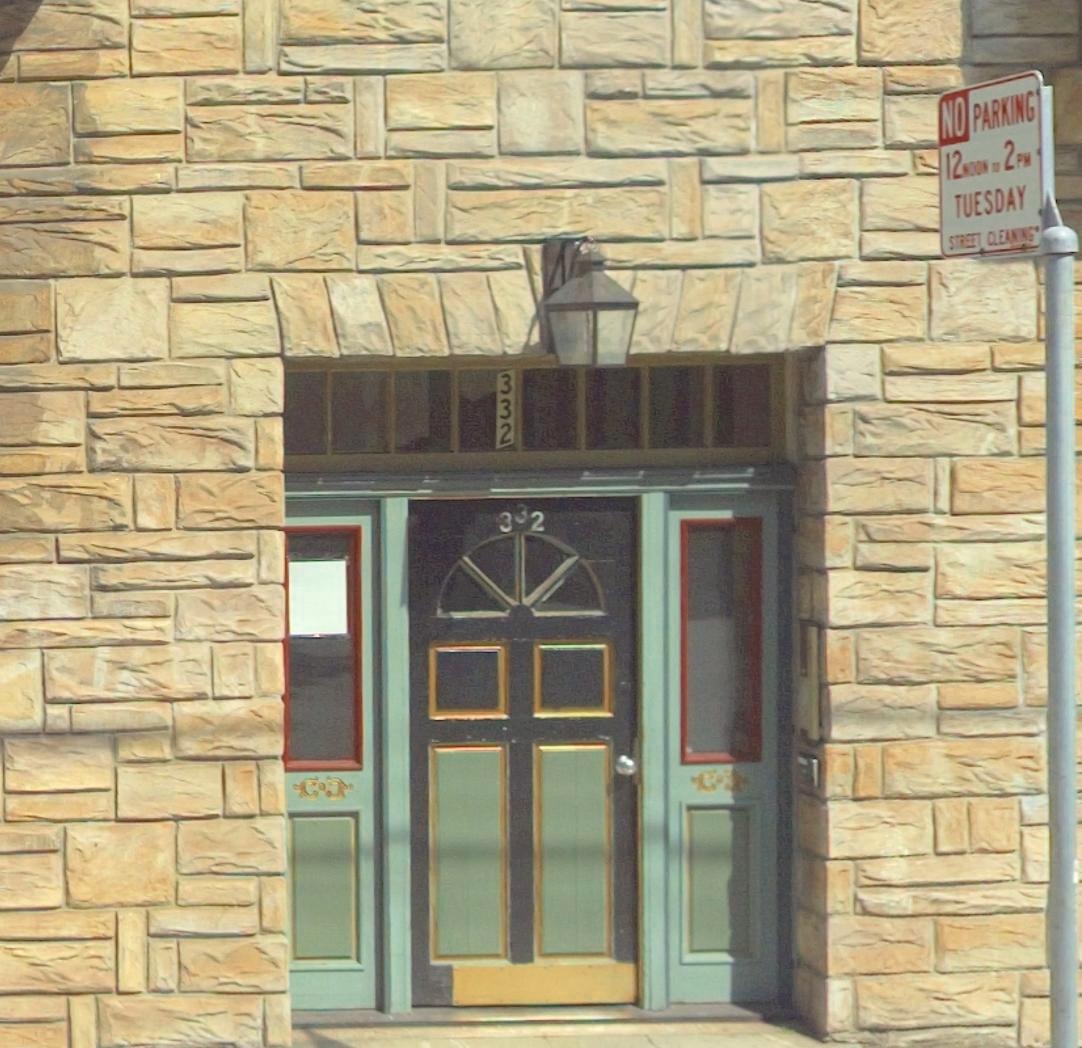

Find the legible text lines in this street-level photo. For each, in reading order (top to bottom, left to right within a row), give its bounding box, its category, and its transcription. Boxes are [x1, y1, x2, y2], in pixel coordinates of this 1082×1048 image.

[936, 87, 1036, 143] None: NO PARKING
[941, 137, 1034, 184] None: 12NOON TO 2PM
[952, 182, 1030, 221] None: TUESDAY
[946, 224, 1039, 253] None: STREET CLEANING
[498, 372, 513, 445] StreetNumber: 332
[497, 500, 553, 534] StreetNumber: 332